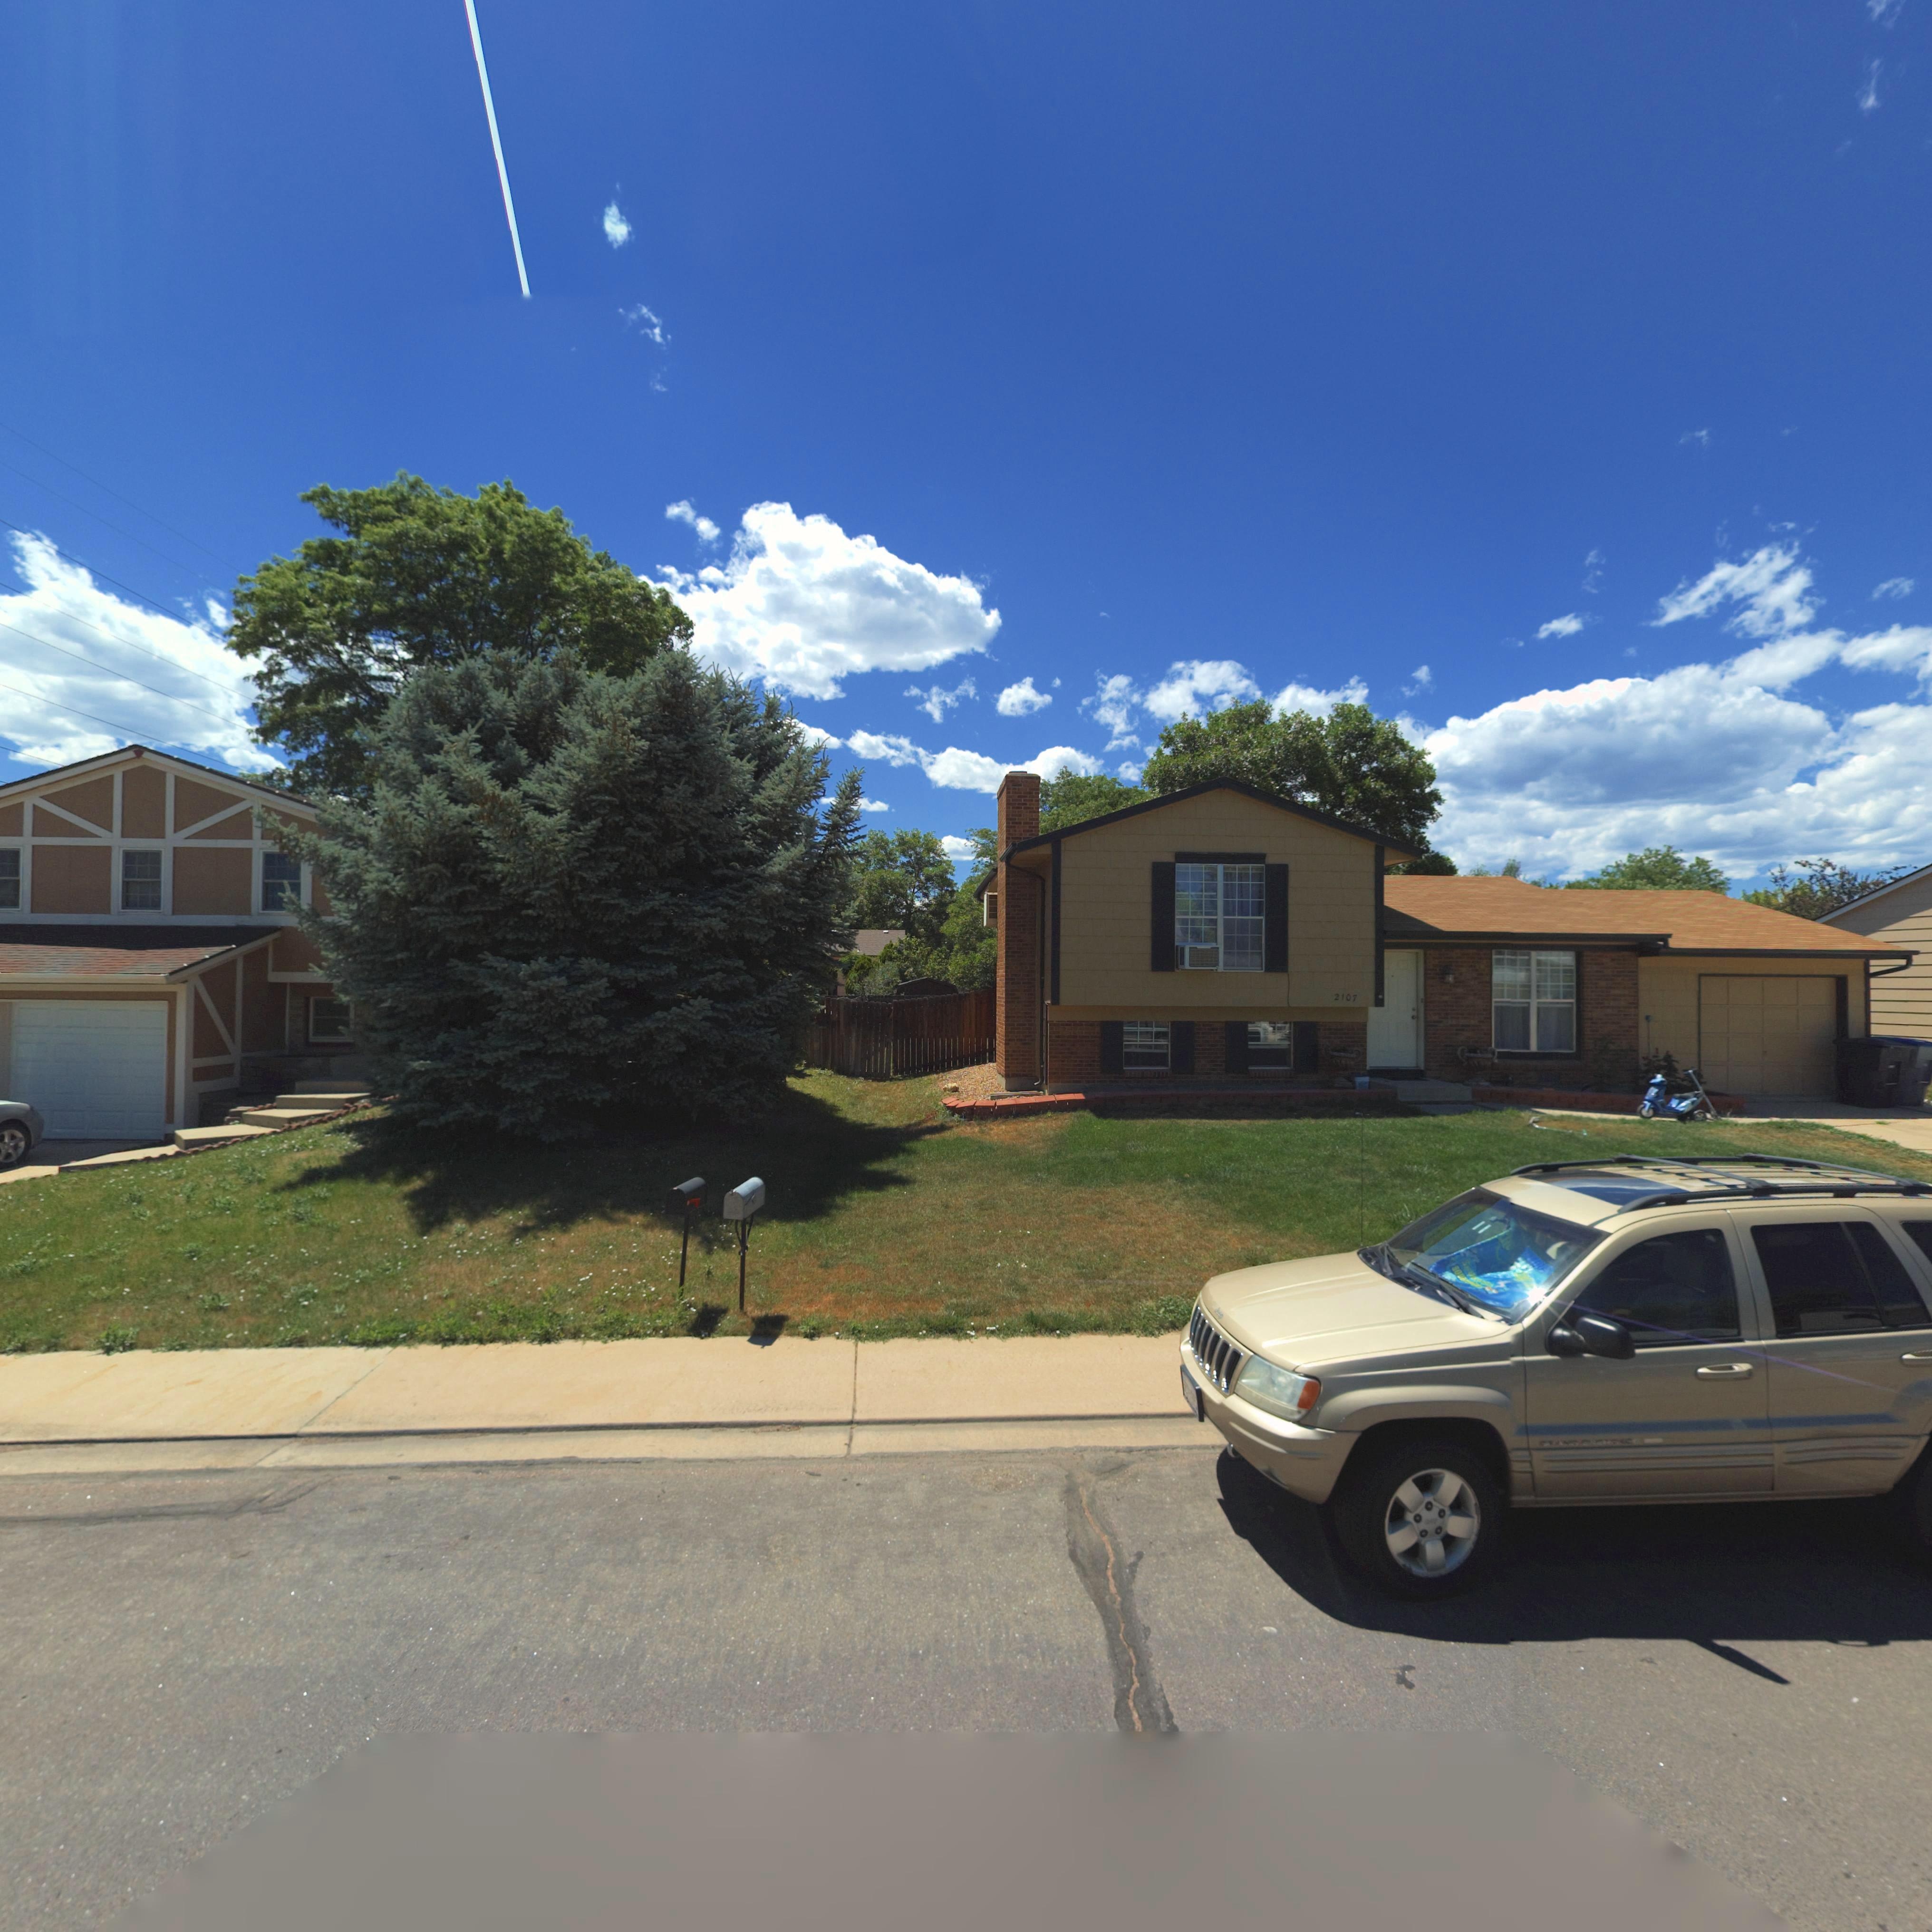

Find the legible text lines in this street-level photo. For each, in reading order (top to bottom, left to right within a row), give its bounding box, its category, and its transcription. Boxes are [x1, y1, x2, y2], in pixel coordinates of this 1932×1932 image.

[1333, 993, 1358, 1002] StreetNumber: 2107